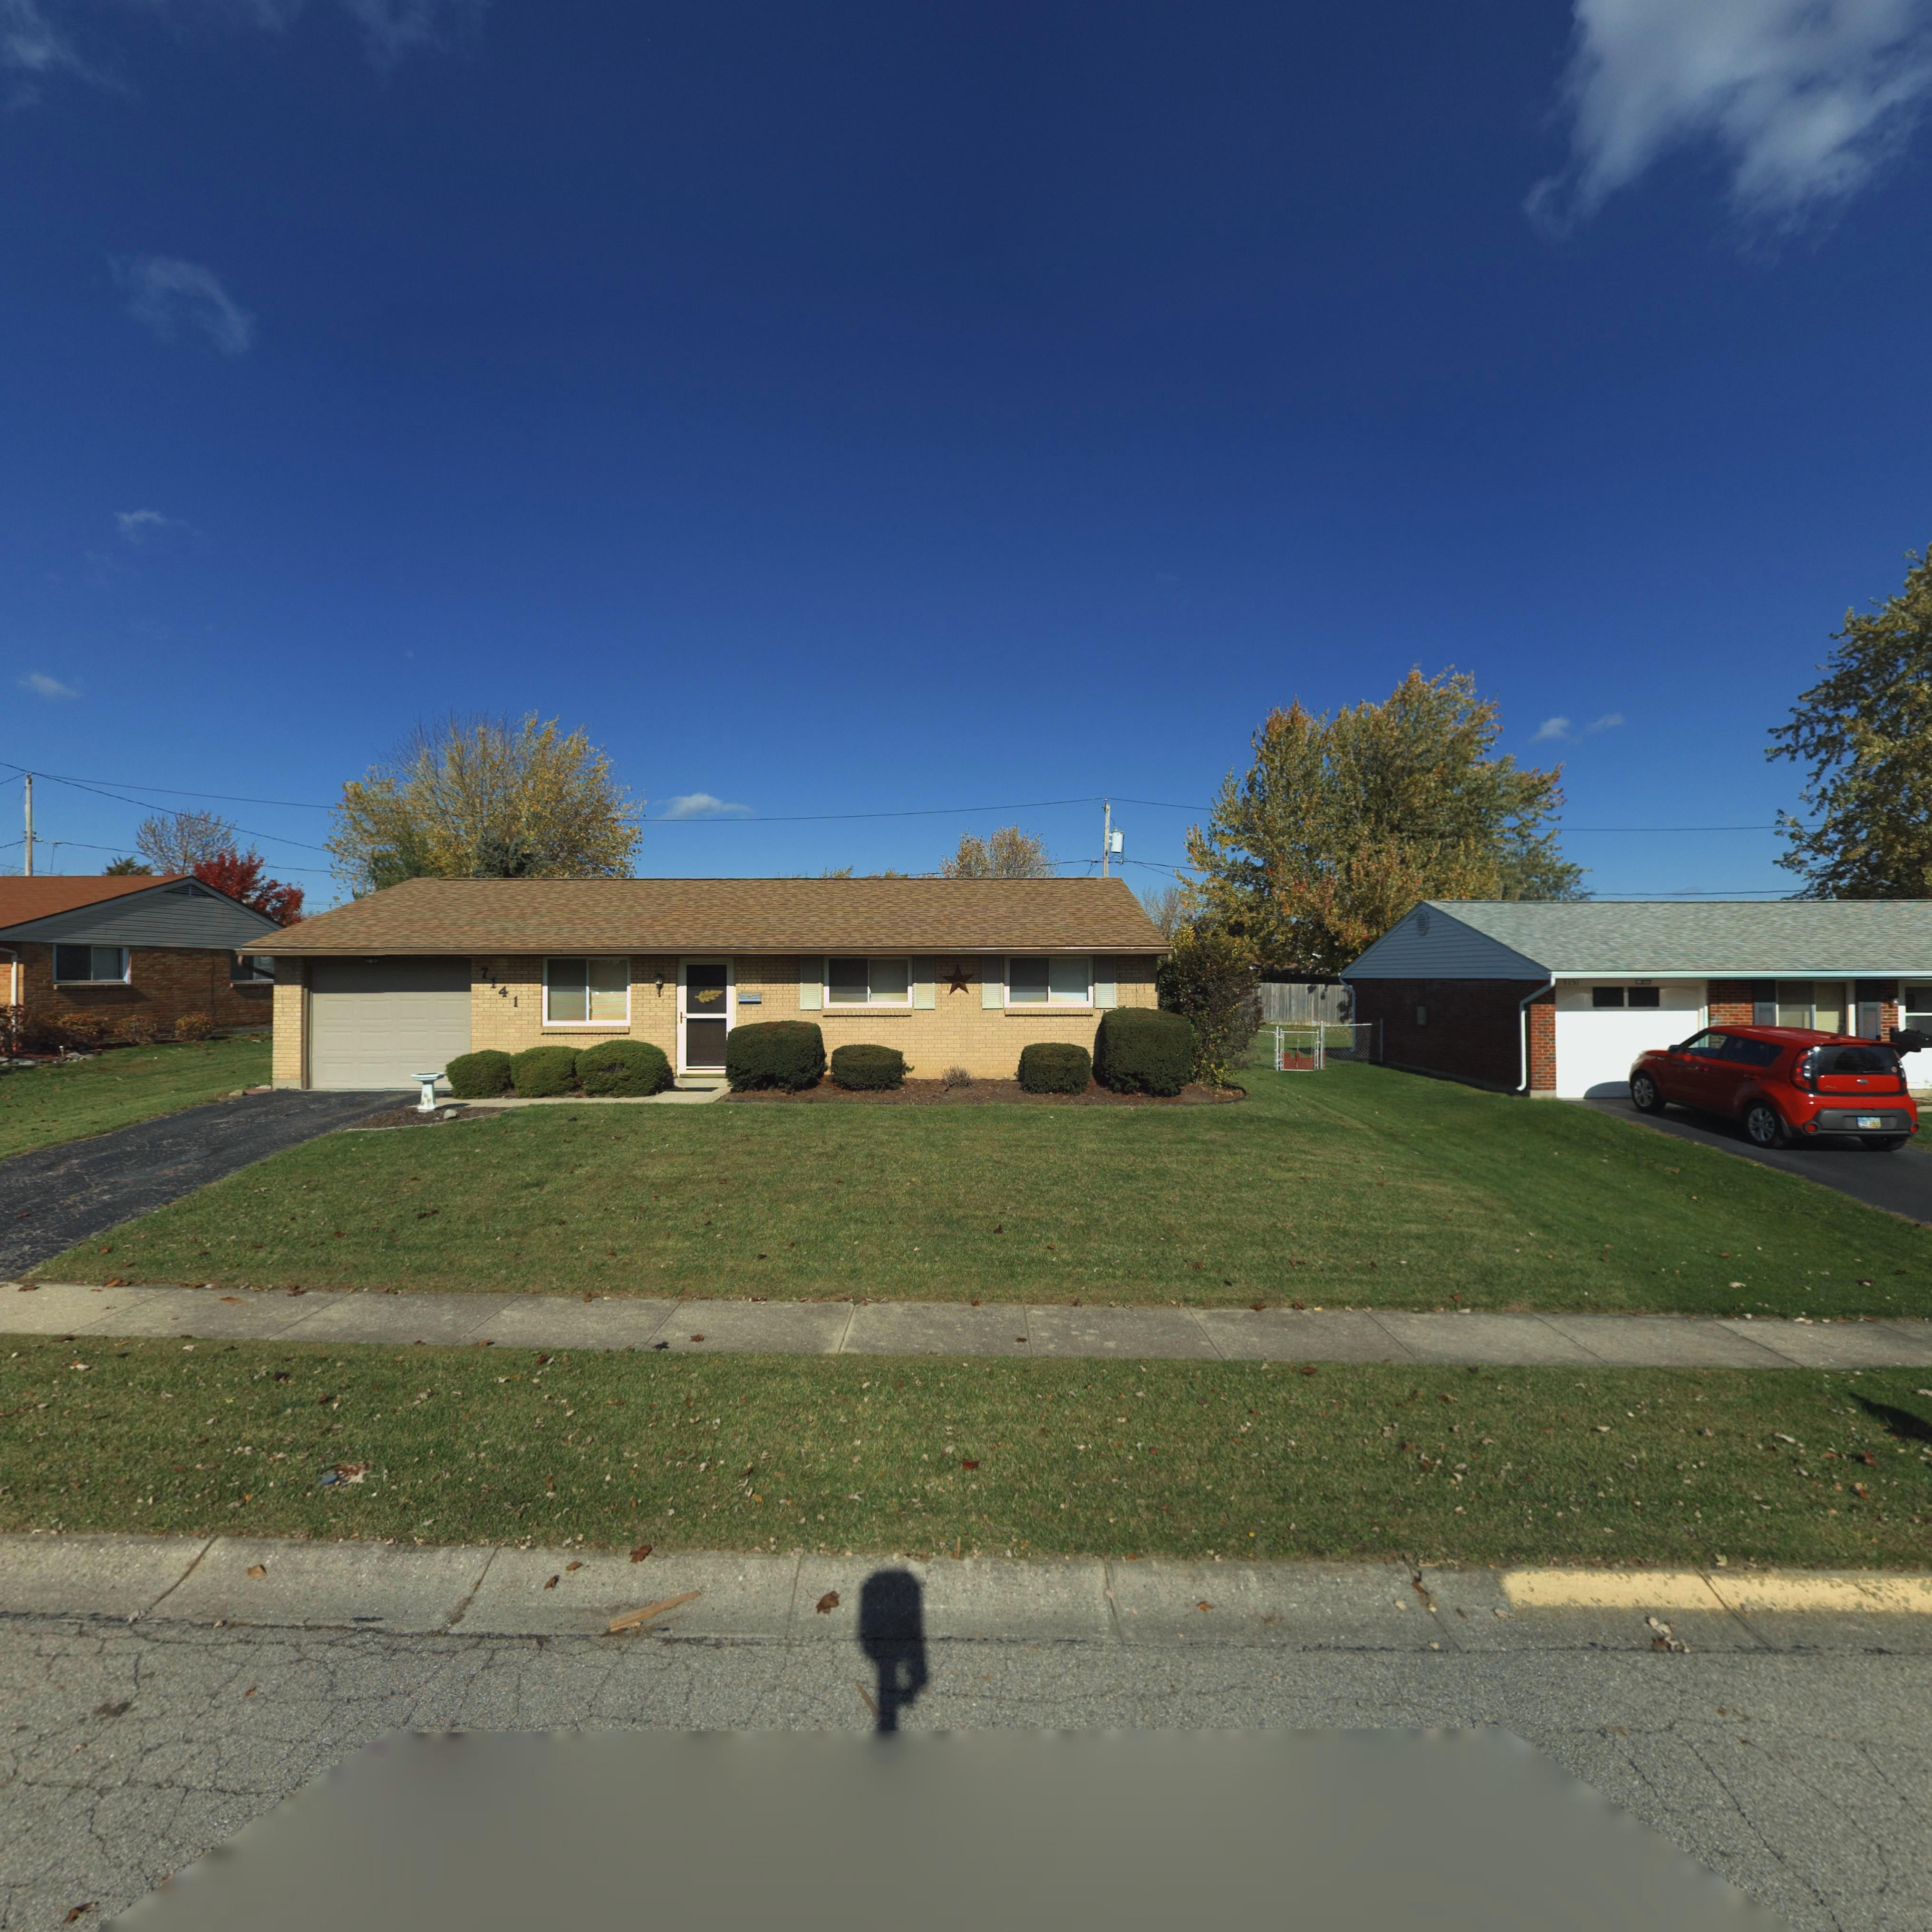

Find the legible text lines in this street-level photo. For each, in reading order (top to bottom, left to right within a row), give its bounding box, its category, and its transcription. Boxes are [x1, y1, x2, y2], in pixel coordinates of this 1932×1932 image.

[480, 966, 519, 1009] StreetNumber: 7141
[1562, 978, 1581, 987] StreetNumber: *1*1